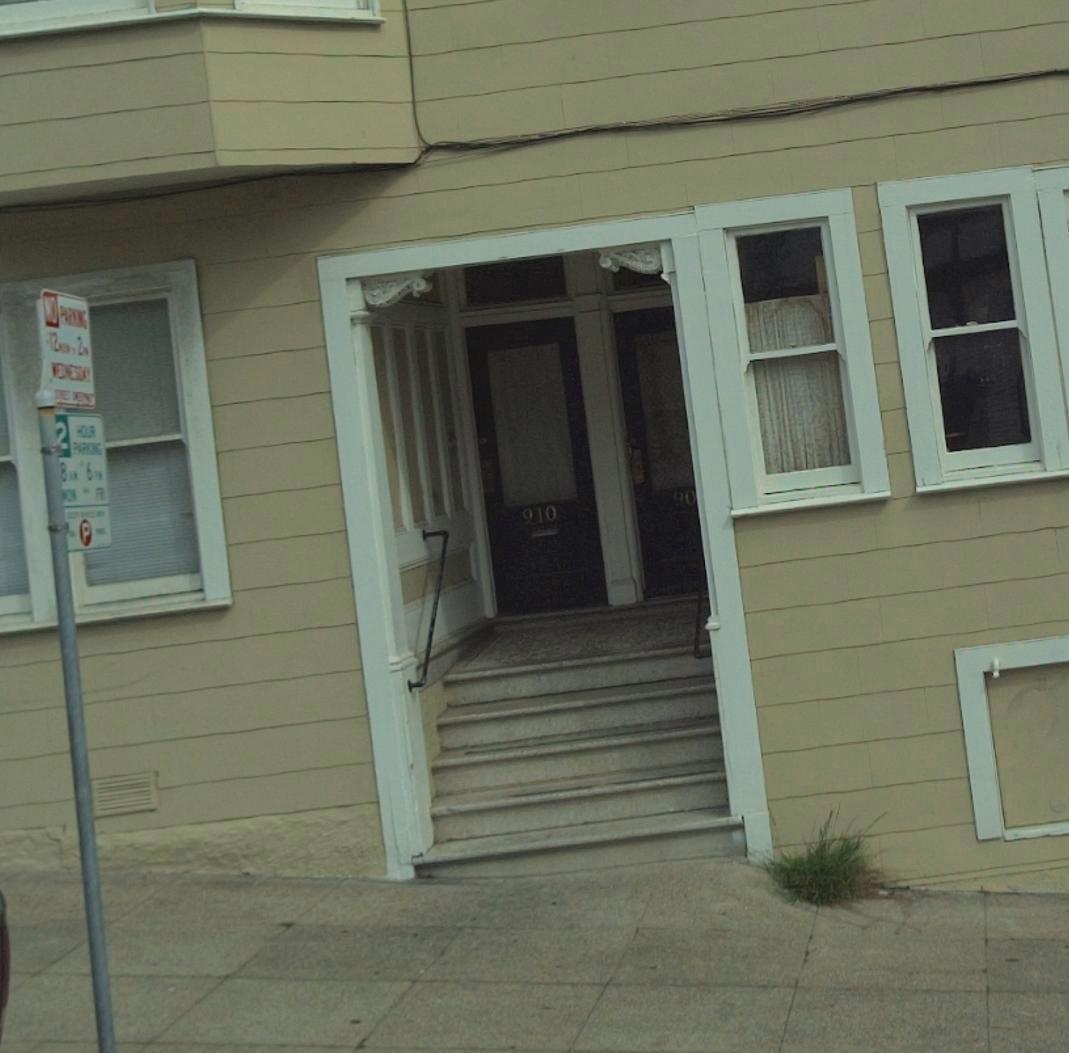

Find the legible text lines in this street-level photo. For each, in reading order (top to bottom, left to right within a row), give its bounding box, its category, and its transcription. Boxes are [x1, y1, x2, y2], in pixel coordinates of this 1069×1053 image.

[41, 295, 91, 331] None: NO PARKING
[47, 330, 60, 354] None: 12
[75, 334, 84, 357] None: 2
[49, 360, 93, 384] None: WEDNESDAY
[74, 423, 98, 440] None: HOUR
[72, 440, 103, 457] None: PARKING
[57, 460, 69, 483] None: 8
[84, 460, 95, 482] None: 6
[672, 487, 697, 510] StreetNumber: 90
[521, 503, 559, 527] StreetNumber: 910